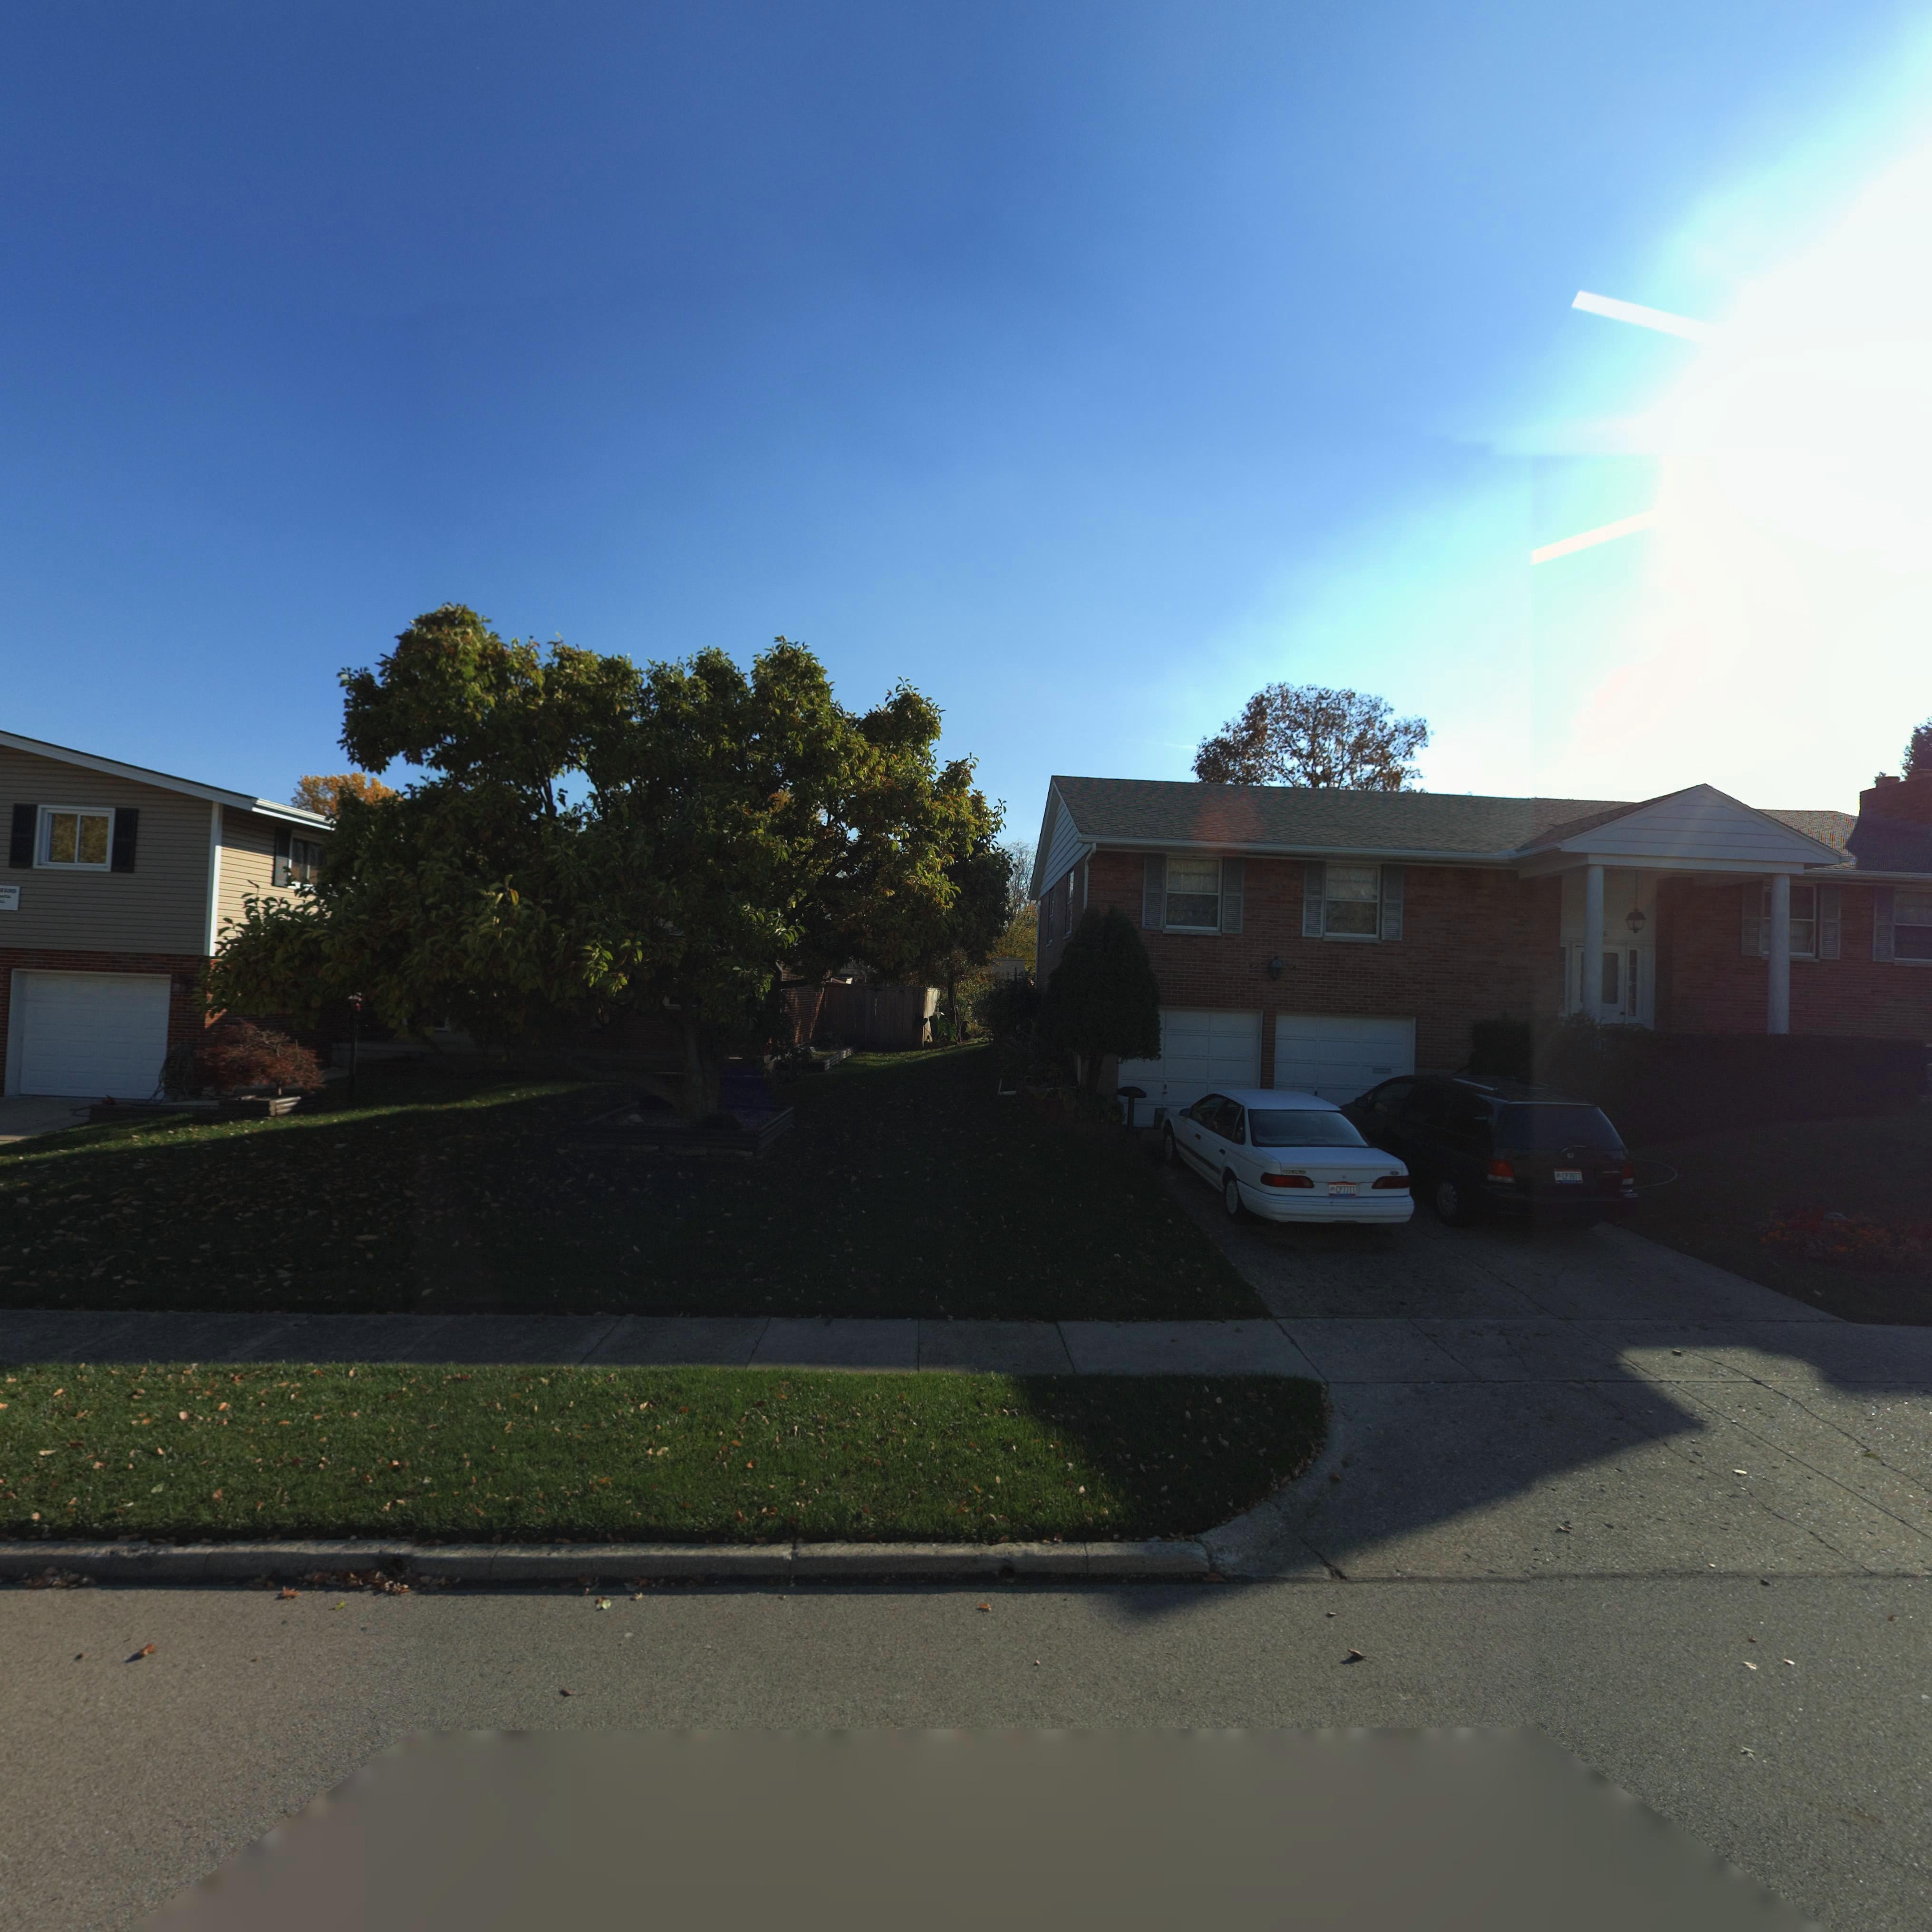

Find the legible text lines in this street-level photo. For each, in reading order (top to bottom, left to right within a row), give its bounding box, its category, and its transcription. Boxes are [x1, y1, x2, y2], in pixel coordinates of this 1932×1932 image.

[1602, 930, 1607, 937] StreetNumber: 6